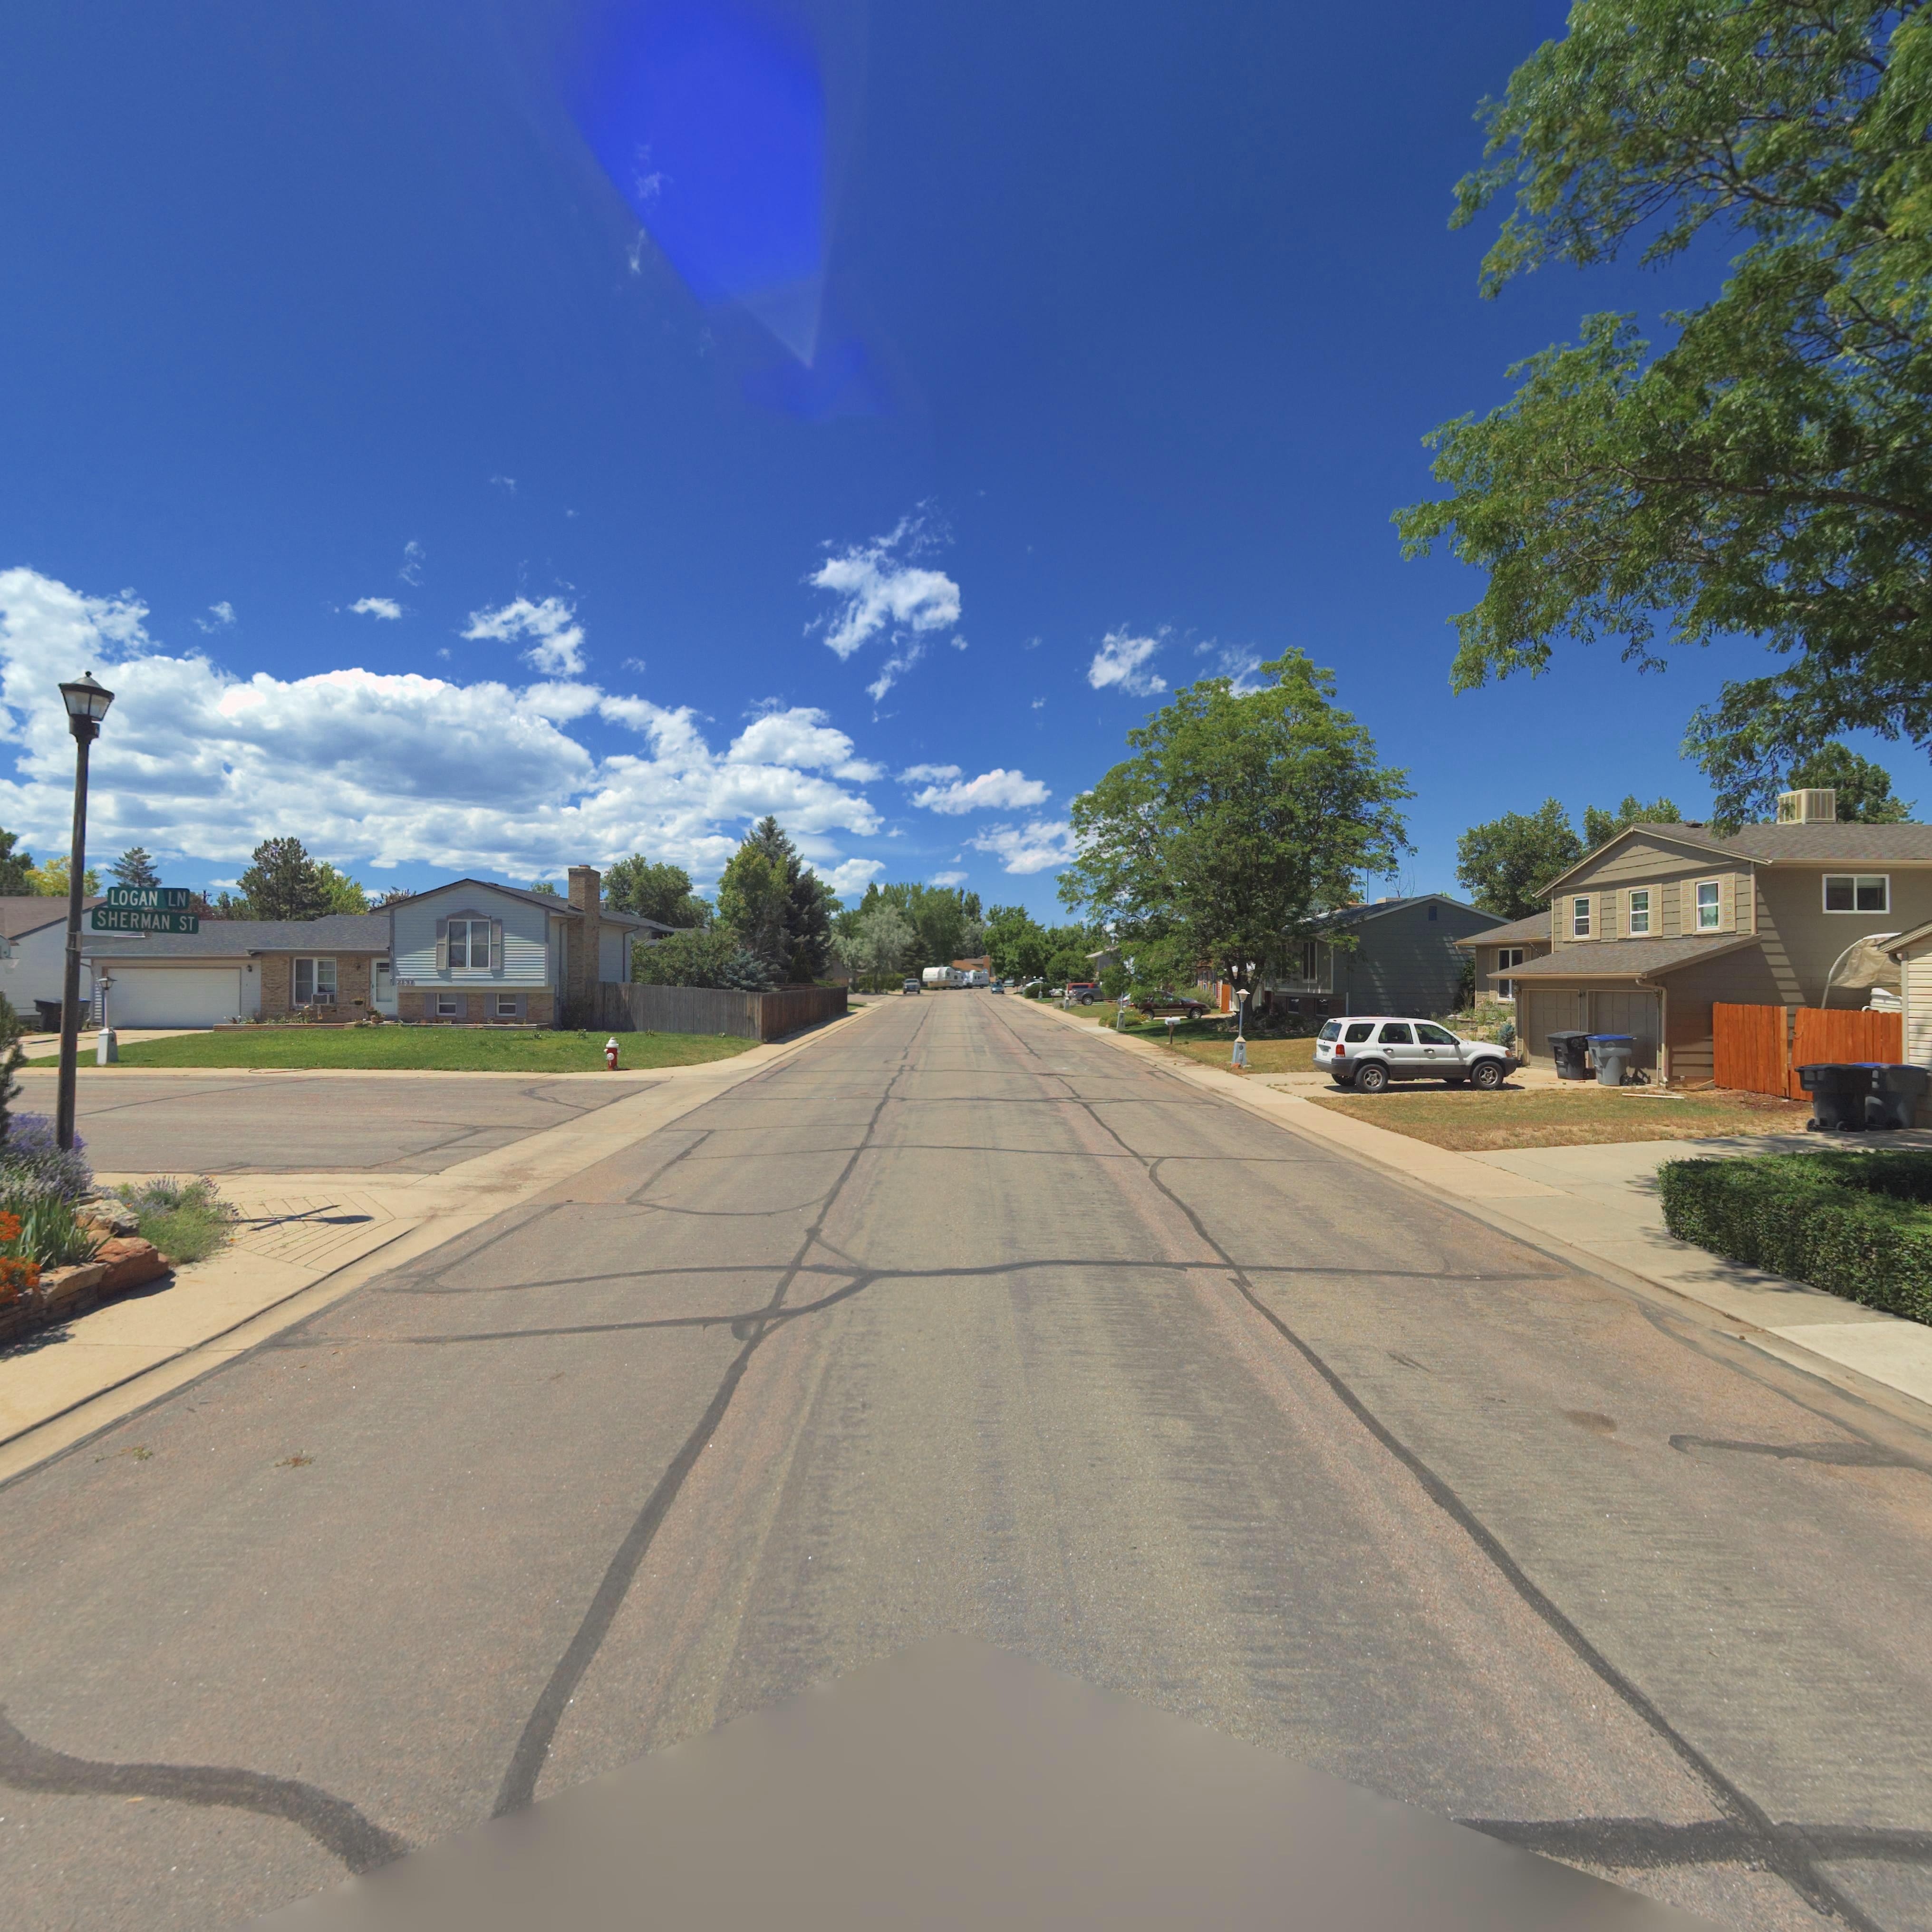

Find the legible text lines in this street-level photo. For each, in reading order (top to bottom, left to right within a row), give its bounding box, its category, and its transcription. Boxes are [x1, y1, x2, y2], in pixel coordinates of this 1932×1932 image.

[110, 889, 187, 908] StreetName: LOGAN LN
[96, 910, 195, 931] StreetName: SHERMAN ST
[396, 979, 415, 985] StreetNumber: 2137